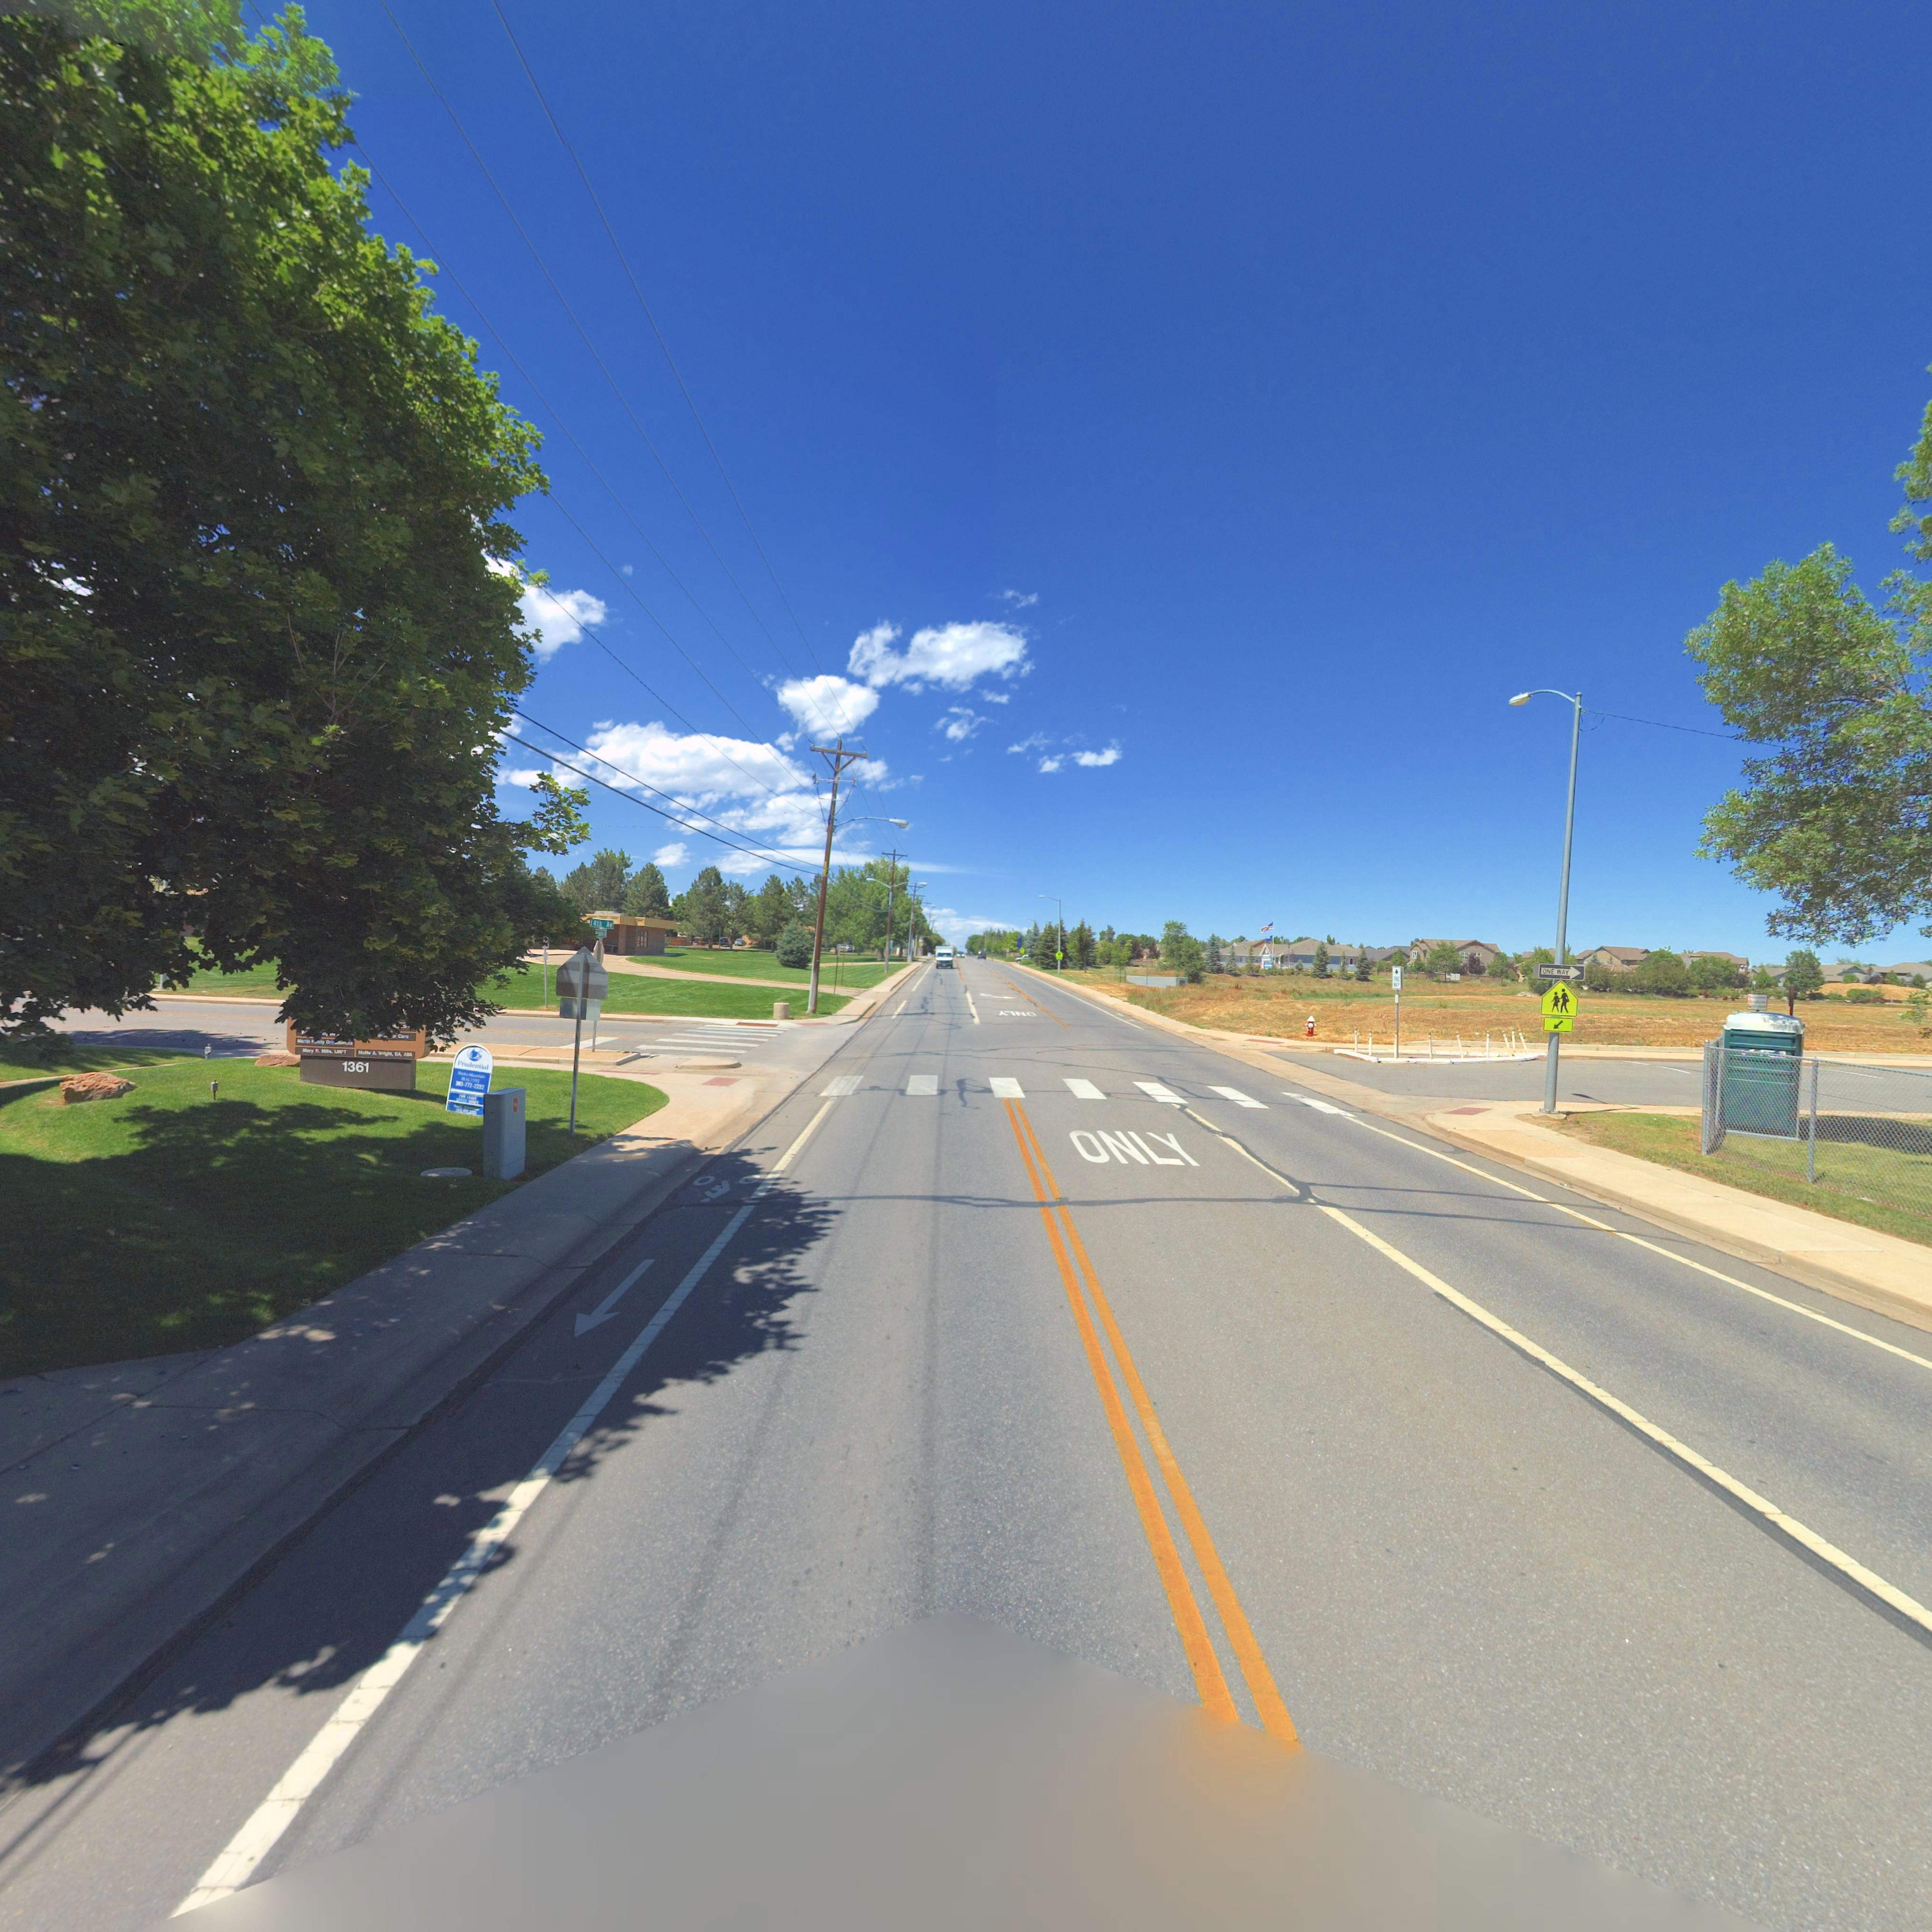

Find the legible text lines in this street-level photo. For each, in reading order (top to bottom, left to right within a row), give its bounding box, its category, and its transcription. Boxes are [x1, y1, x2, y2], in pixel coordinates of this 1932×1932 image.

[590, 919, 612, 927] StreetName: 14th Av
[397, 1034, 409, 1038] BusinessName: Care
[297, 1038, 310, 1043] BusinessName: Martin
[301, 1047, 347, 1054] BusinessName: Mary R* M** LMFT
[357, 1049, 377, 1055] BusinessName: Moll* A*
[341, 1061, 369, 1072] StreetNumber: 1361